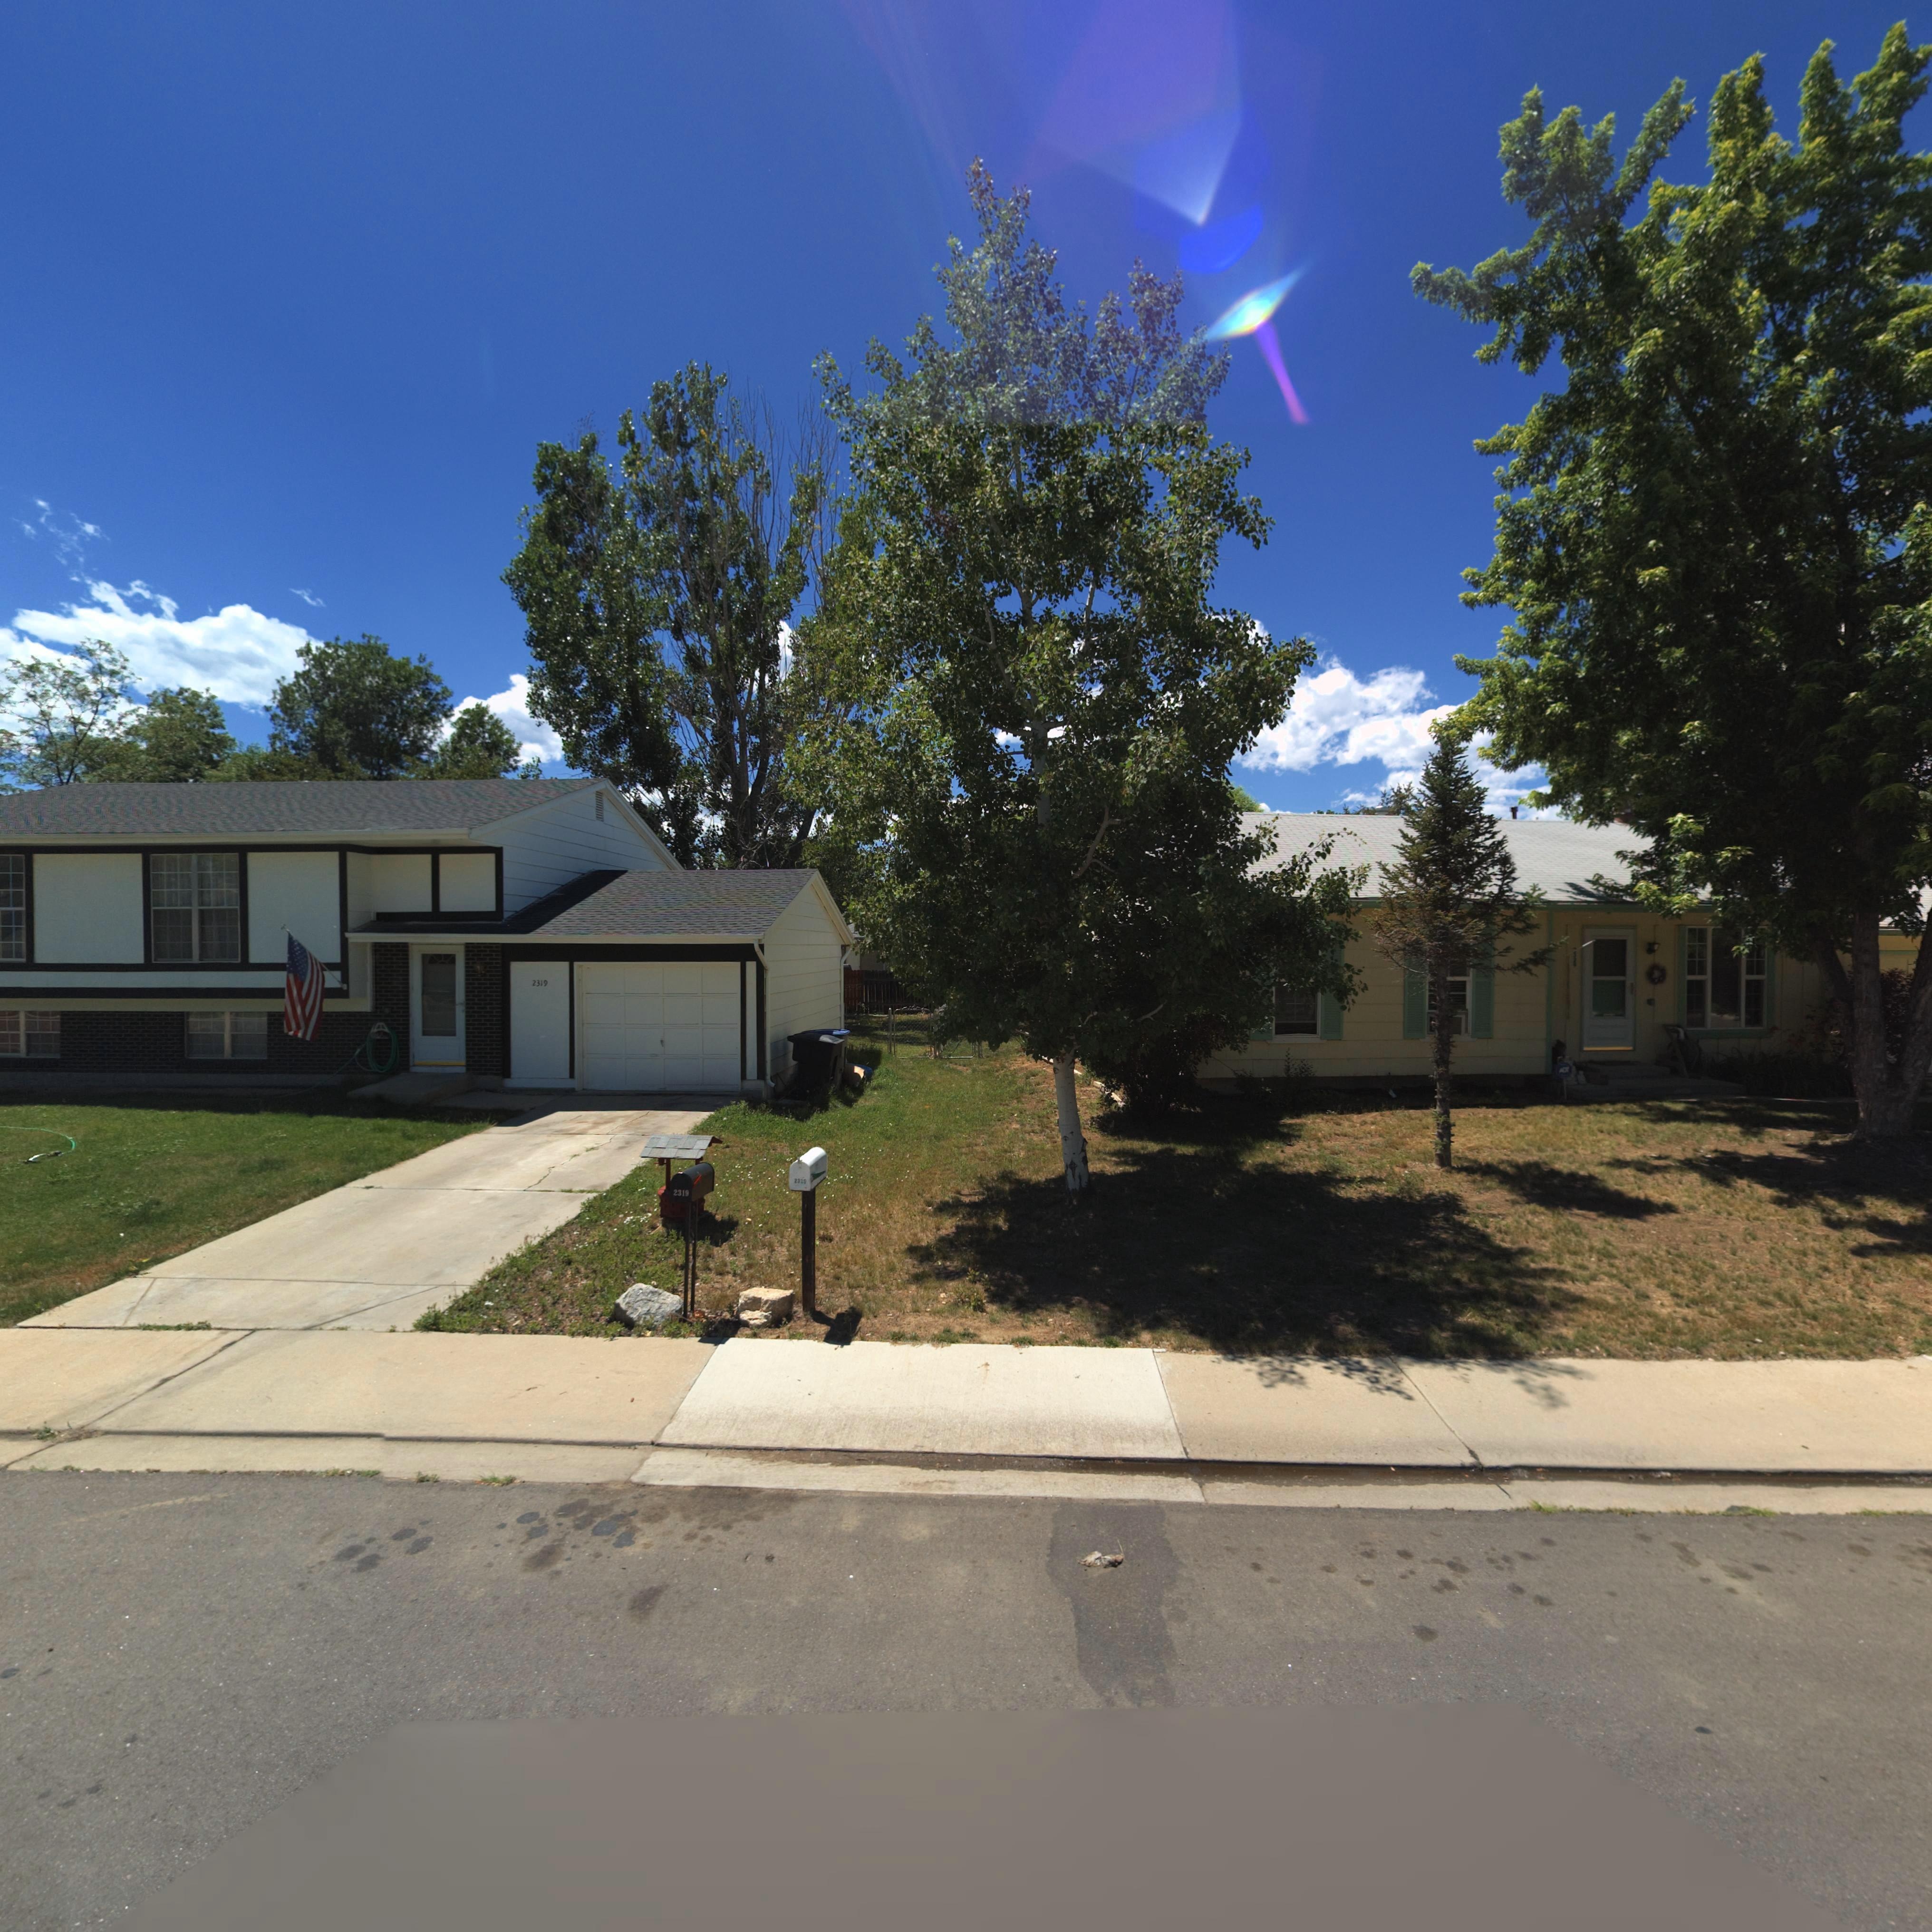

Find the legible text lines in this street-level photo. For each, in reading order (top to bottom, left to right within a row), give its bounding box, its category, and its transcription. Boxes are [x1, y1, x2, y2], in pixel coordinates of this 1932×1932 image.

[1572, 946, 1577, 968] StreetNumber: *32*
[532, 979, 548, 986] StreetNumber: 2319
[793, 1178, 806, 1185] StreetNumber: 232*
[673, 1188, 689, 1197] StreetNumber: 2319